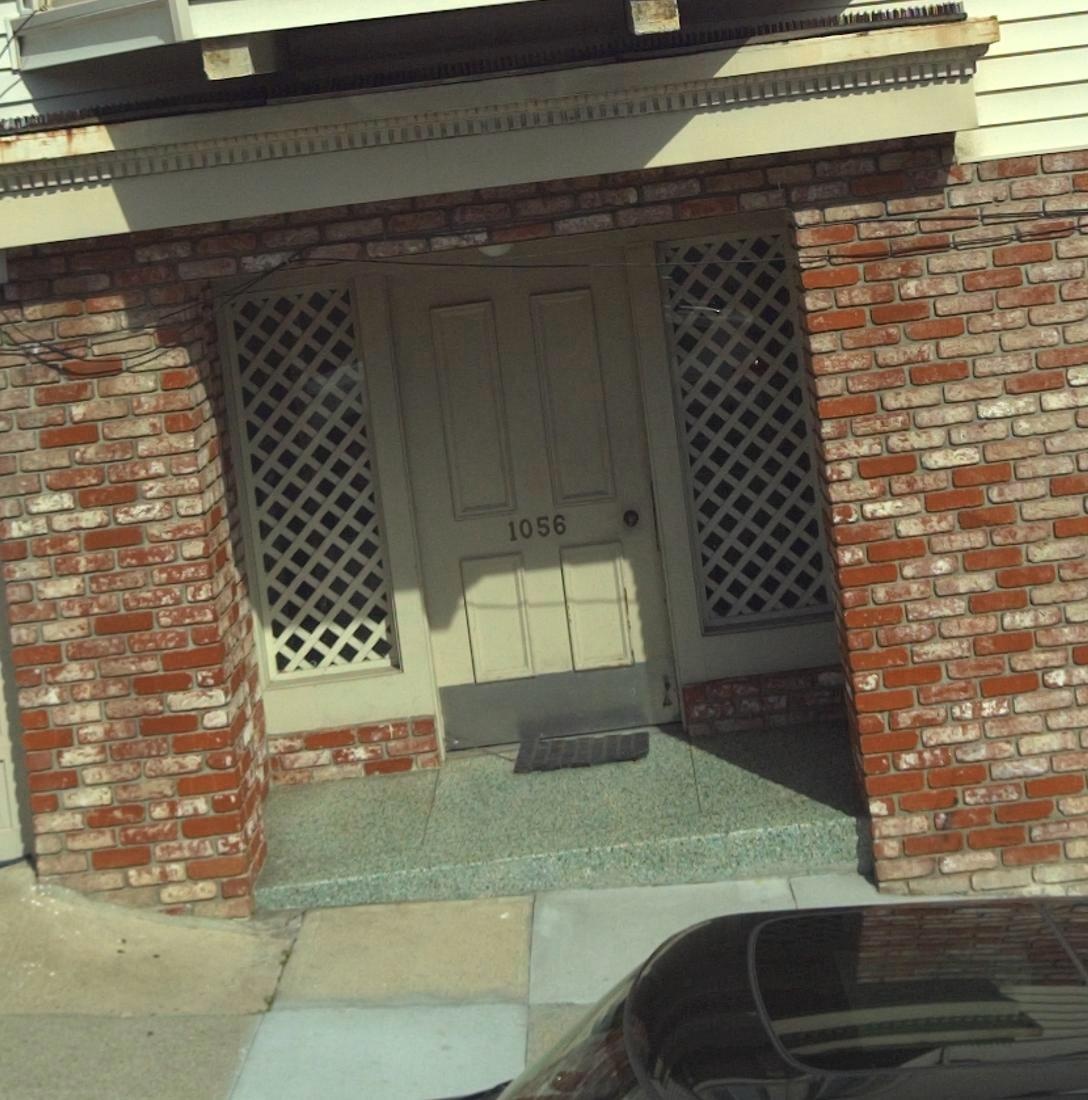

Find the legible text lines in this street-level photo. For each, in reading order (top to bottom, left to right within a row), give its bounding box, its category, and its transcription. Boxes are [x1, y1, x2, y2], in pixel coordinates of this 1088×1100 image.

[507, 511, 567, 543] StreetNumber: 1056